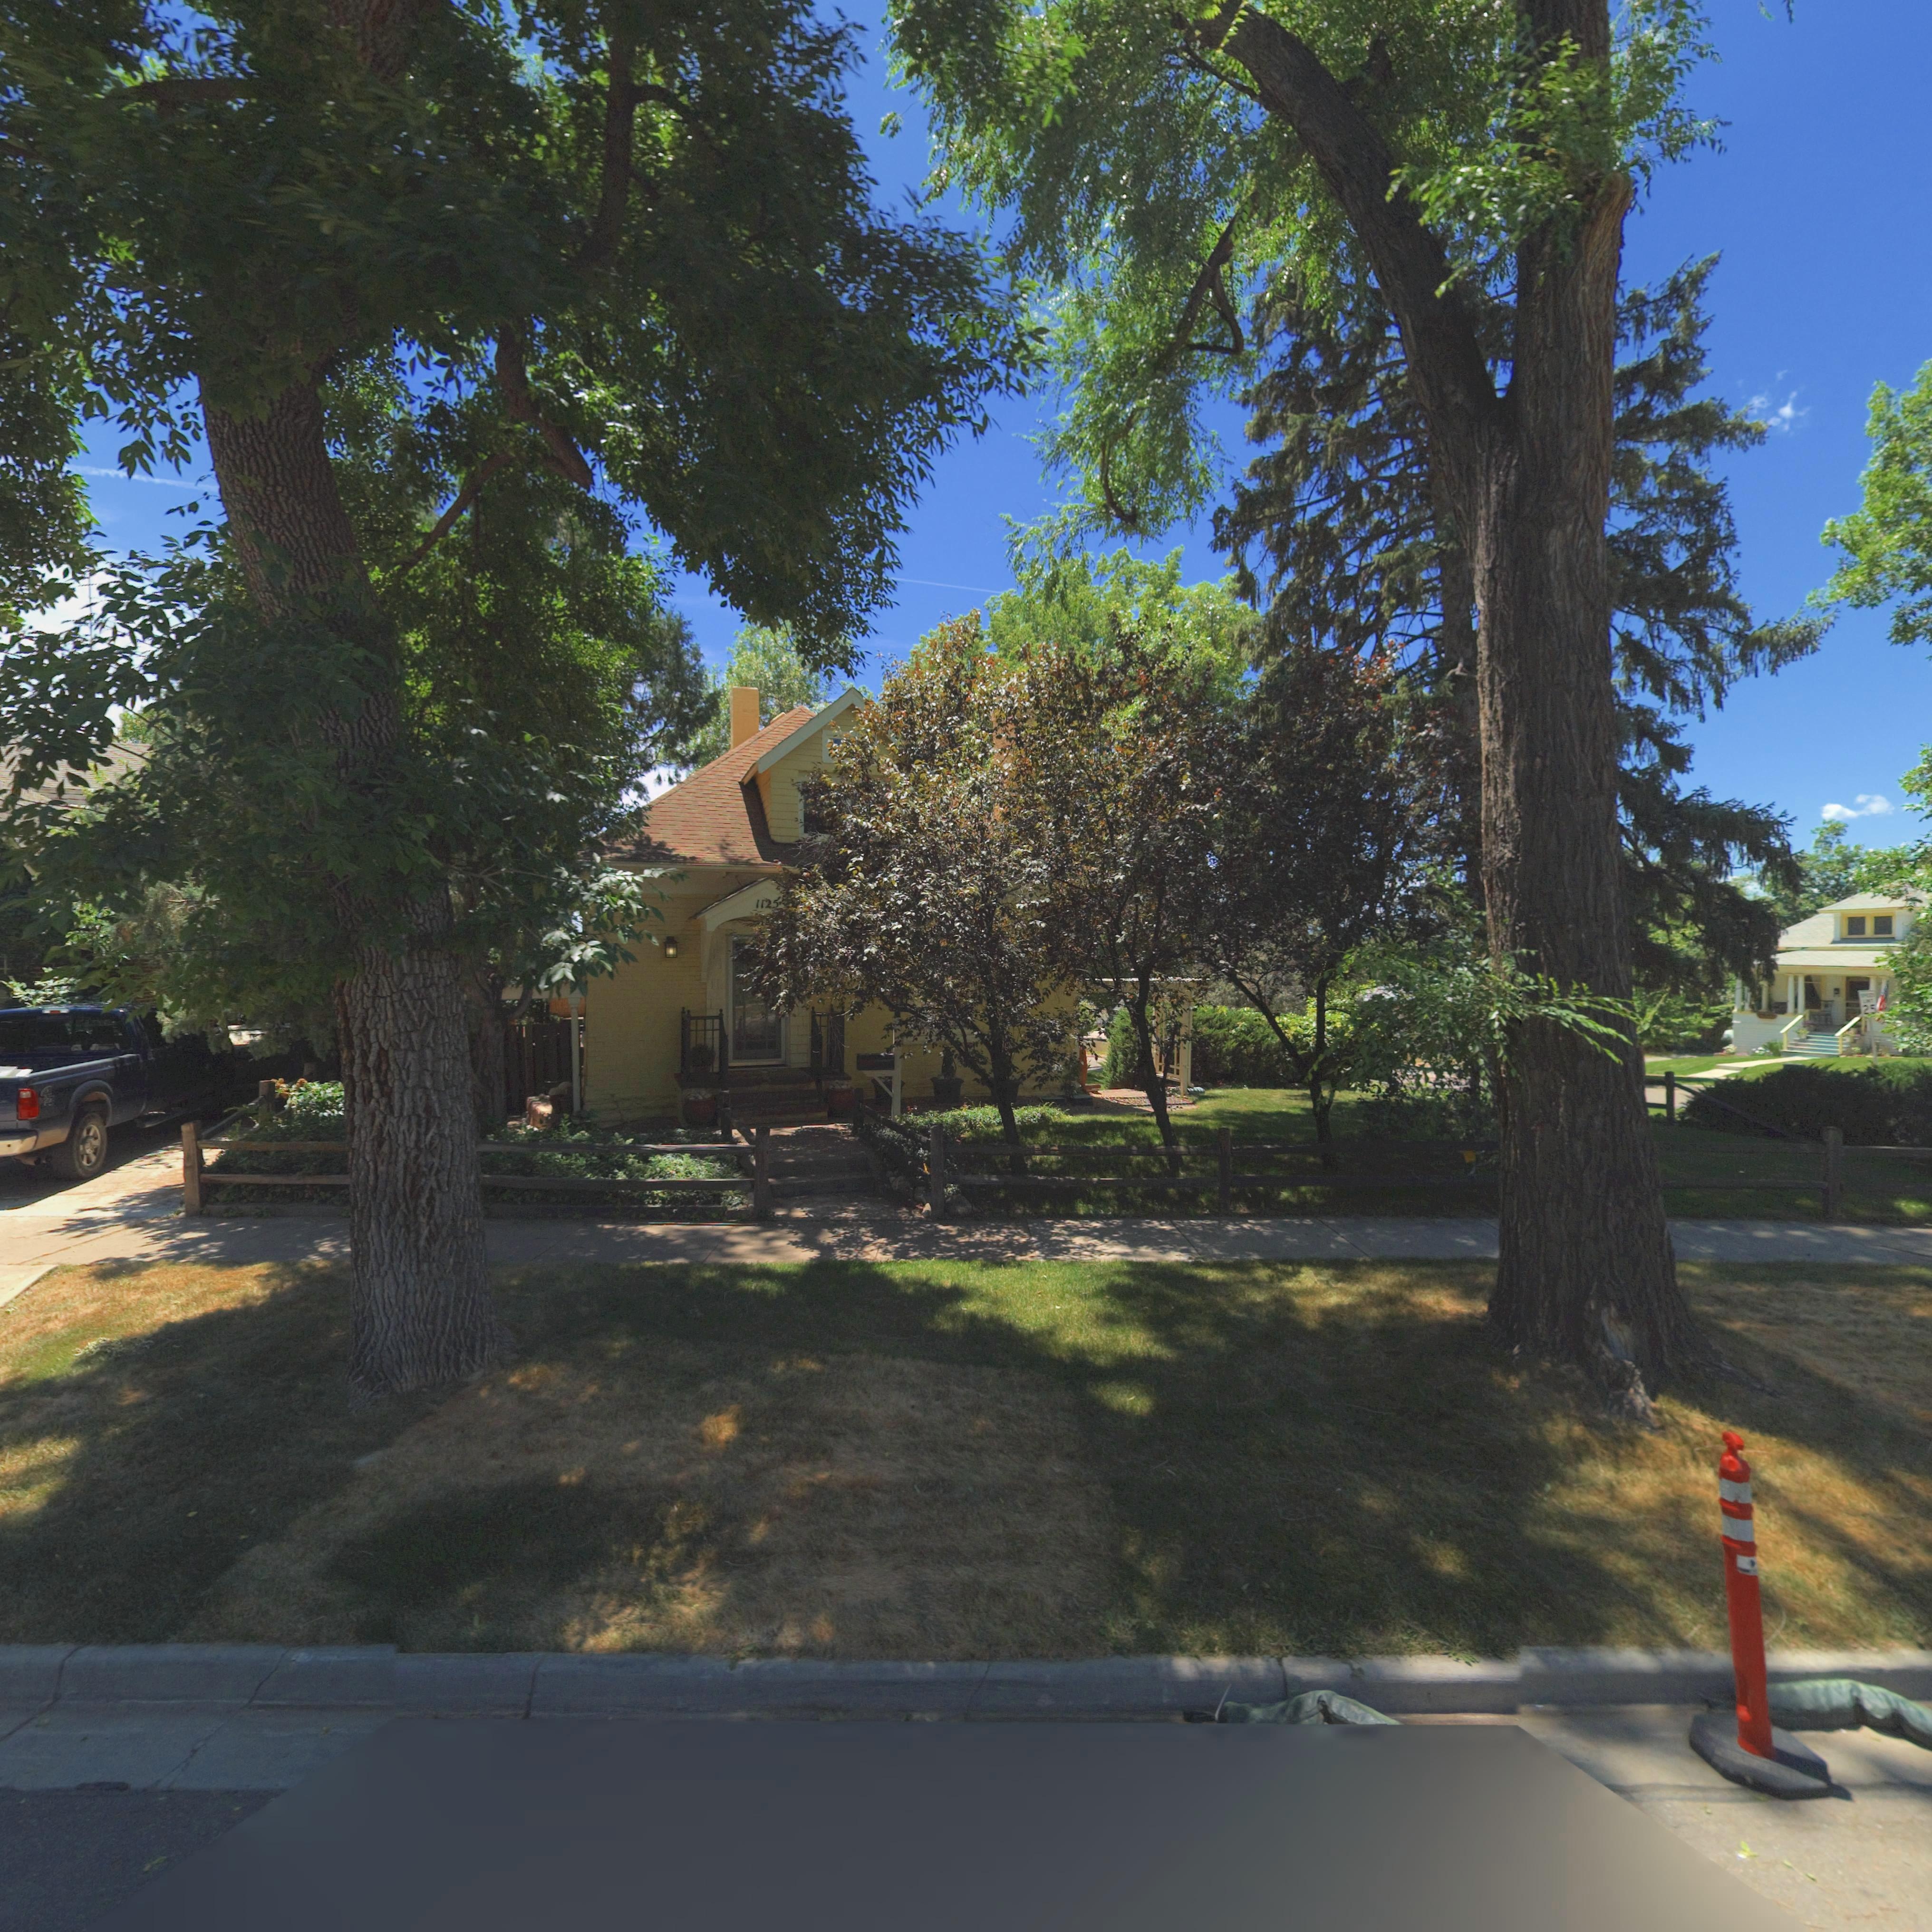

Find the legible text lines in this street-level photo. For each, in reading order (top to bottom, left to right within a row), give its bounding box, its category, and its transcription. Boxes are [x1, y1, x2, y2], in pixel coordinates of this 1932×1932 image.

[755, 899, 779, 909] StreetNumber: 1125